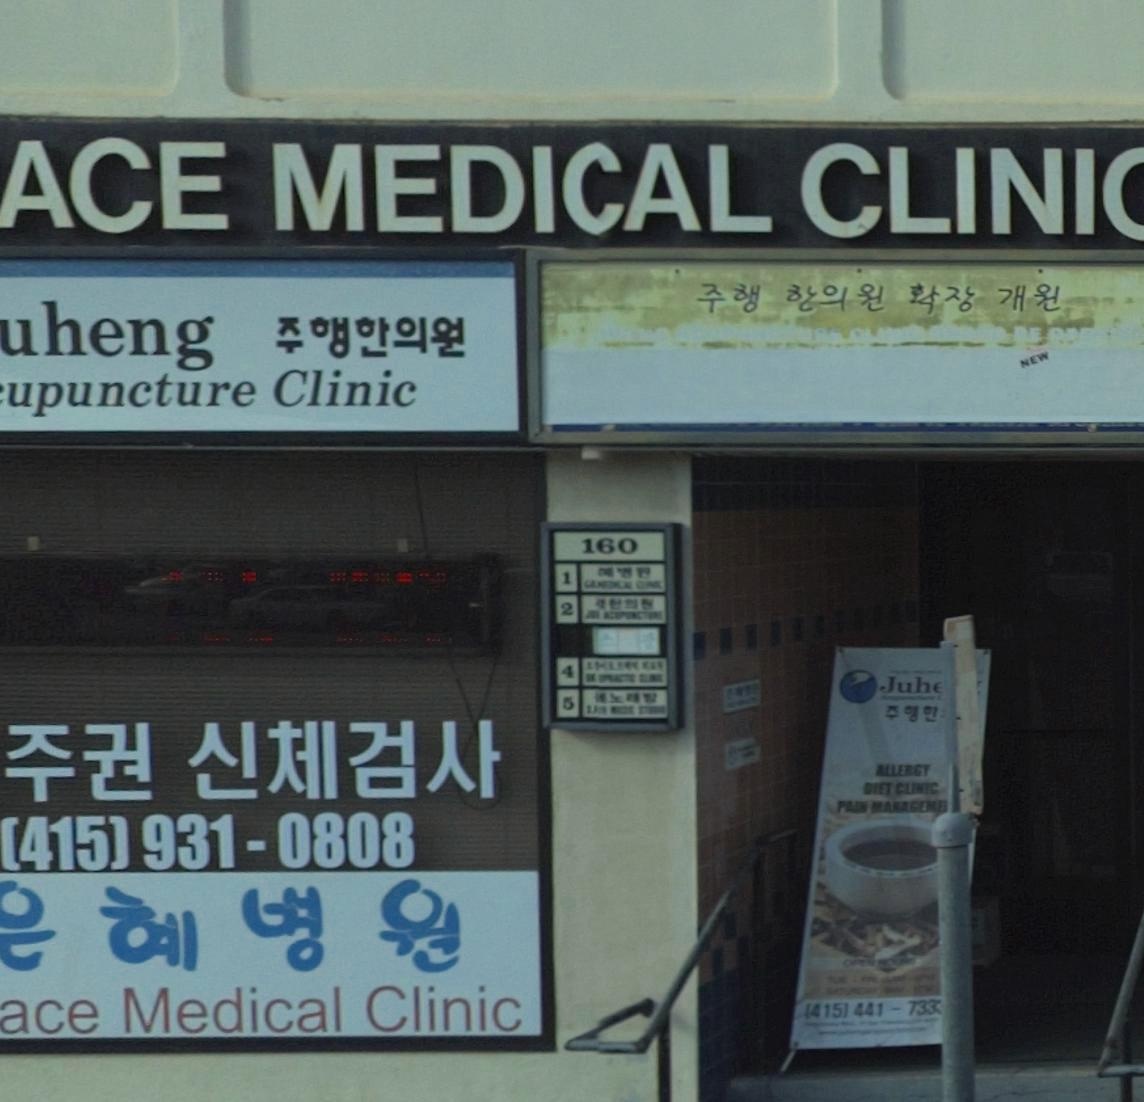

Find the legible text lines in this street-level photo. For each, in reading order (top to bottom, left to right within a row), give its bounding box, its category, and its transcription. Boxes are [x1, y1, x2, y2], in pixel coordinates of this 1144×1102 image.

[0, 129, 1102, 240] BusinessName: ACE MEDI*AL CLINI
[36, 295, 218, 374] None: heng
[1013, 347, 1053, 374] None: NEW
[4, 365, 422, 421] None: upuncture Clinic
[578, 534, 642, 558] StreetNumber: 160
[559, 568, 574, 588] StreetNumber: 1
[558, 599, 576, 619] StreetNumber: 2
[560, 661, 577, 681] StreetNumber: 4
[876, 671, 934, 698] None: Juh
[561, 693, 576, 713] StreetNumber: 5
[871, 761, 934, 779] None: ALLERGY
[861, 778, 941, 799] None: DIET CLINIC
[834, 796, 951, 816] None: PAIN MANAGEME
[14, 807, 421, 877] None: 415)931-0808
[0, 979, 525, 1039] BusinessName: ace Medical Clinic
[807, 995, 940, 1022] None: 415)441-733